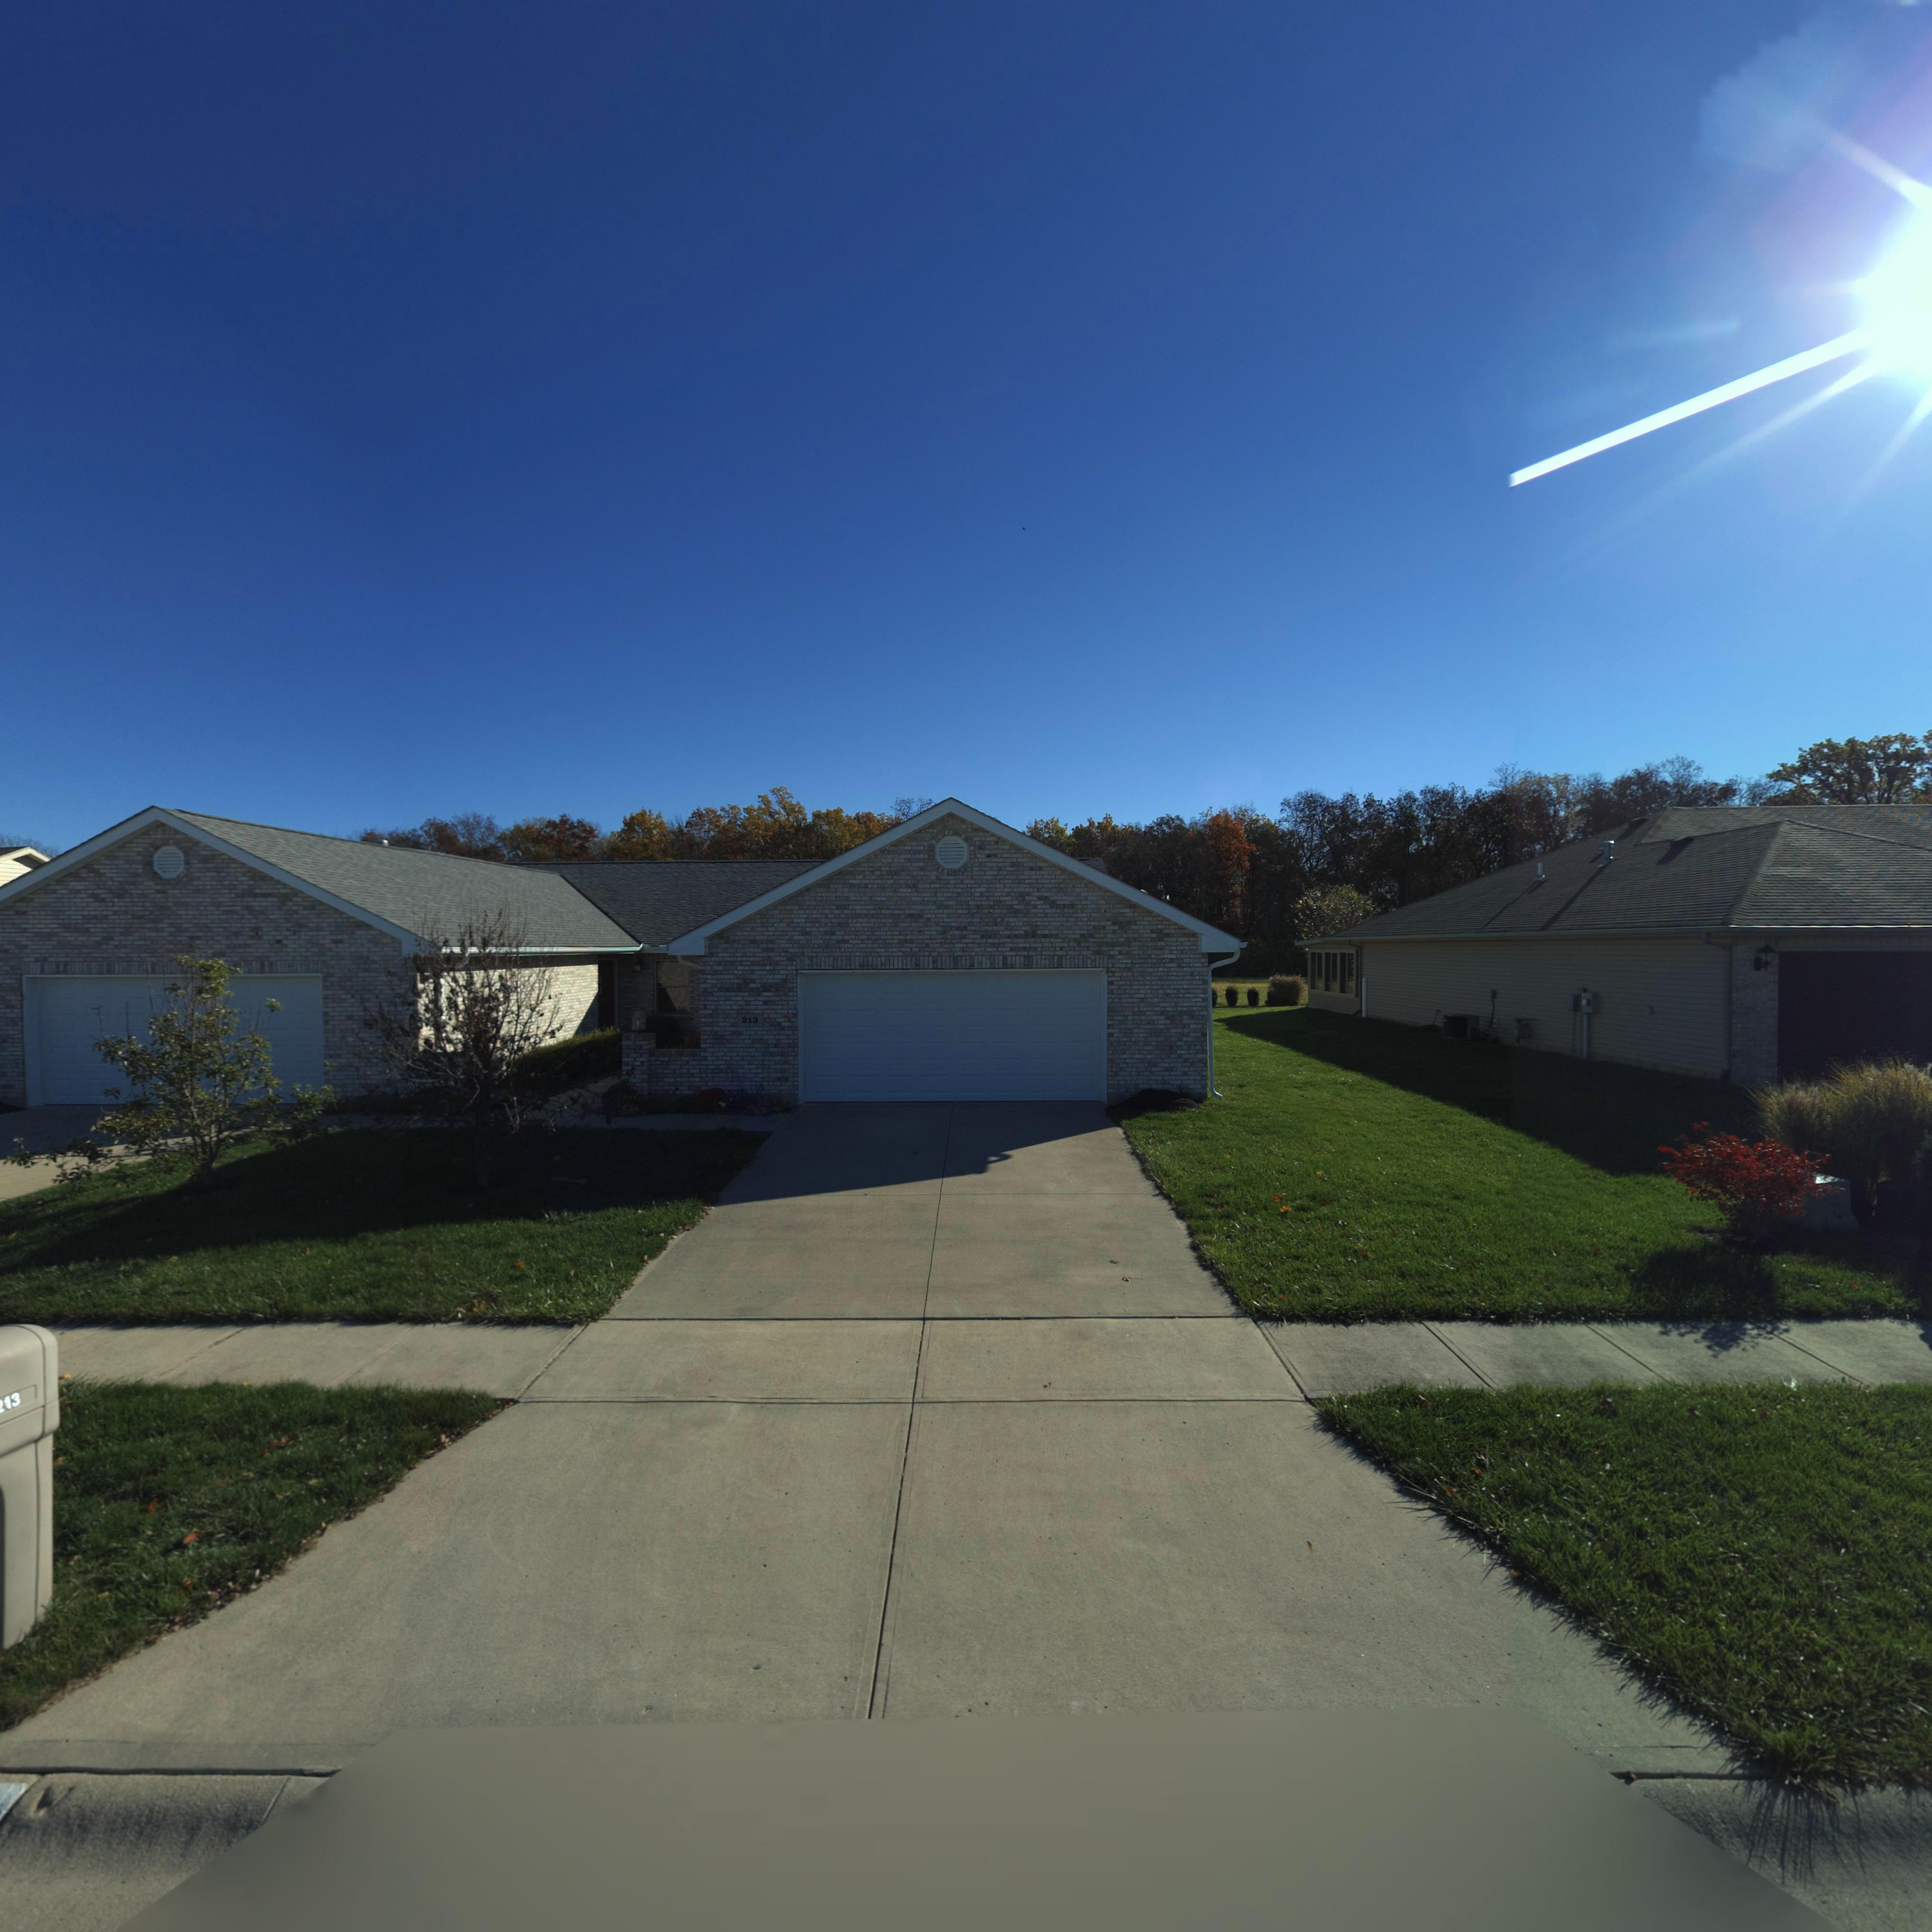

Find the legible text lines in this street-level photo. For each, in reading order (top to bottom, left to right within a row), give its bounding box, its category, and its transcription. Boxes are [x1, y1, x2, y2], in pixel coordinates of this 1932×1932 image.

[741, 1016, 759, 1024] StreetNumber: 213
[1, 1391, 23, 1411] StreetNumber: 13